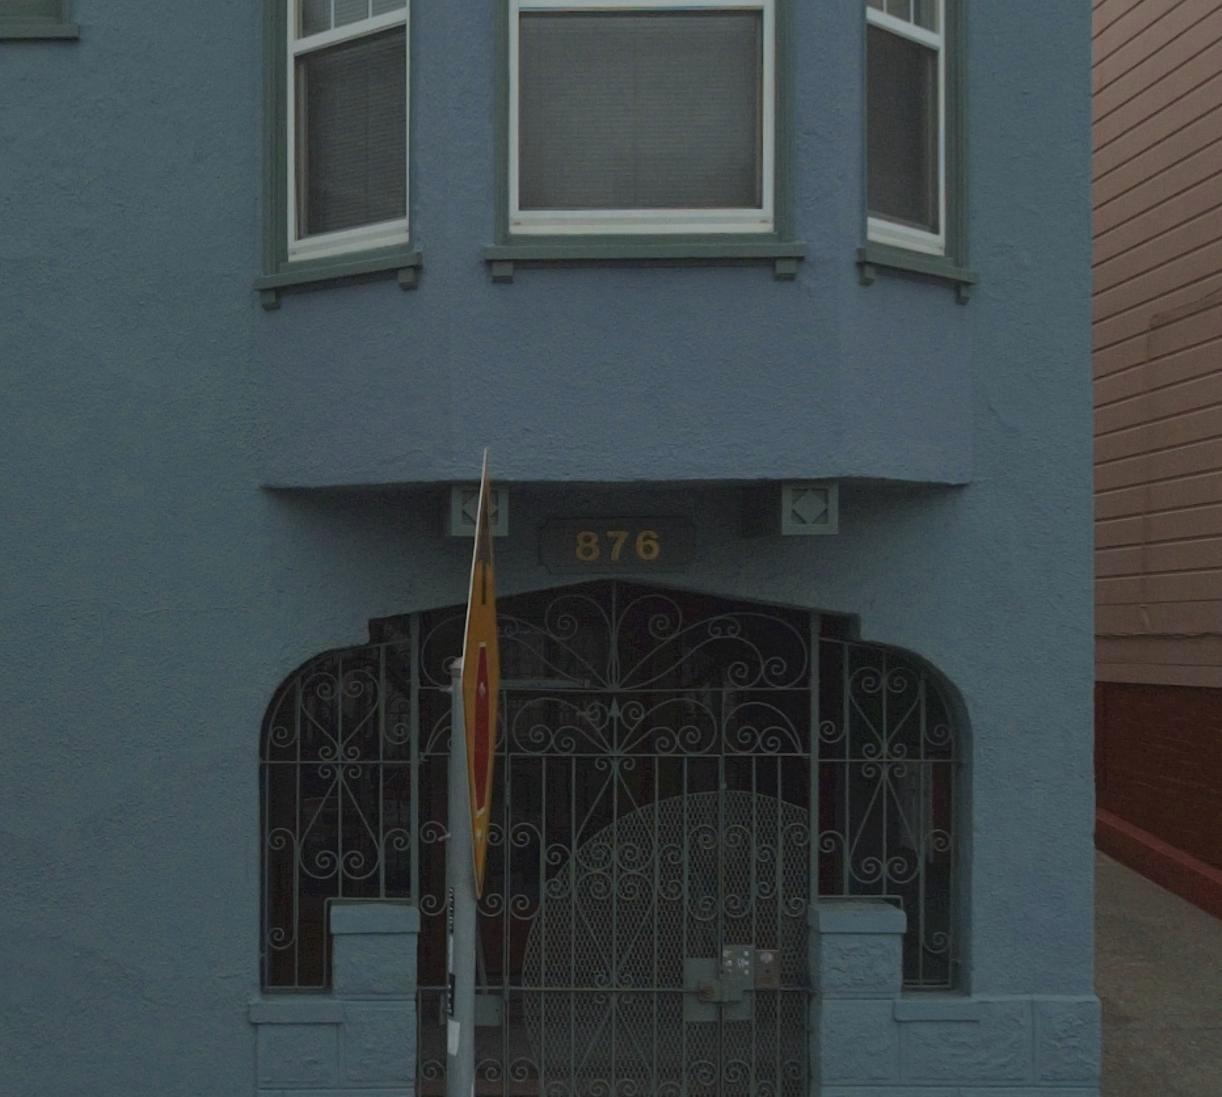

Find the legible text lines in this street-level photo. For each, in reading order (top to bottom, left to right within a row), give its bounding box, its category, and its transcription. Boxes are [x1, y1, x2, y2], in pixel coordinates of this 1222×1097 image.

[572, 527, 662, 564] StreetNumber: 876